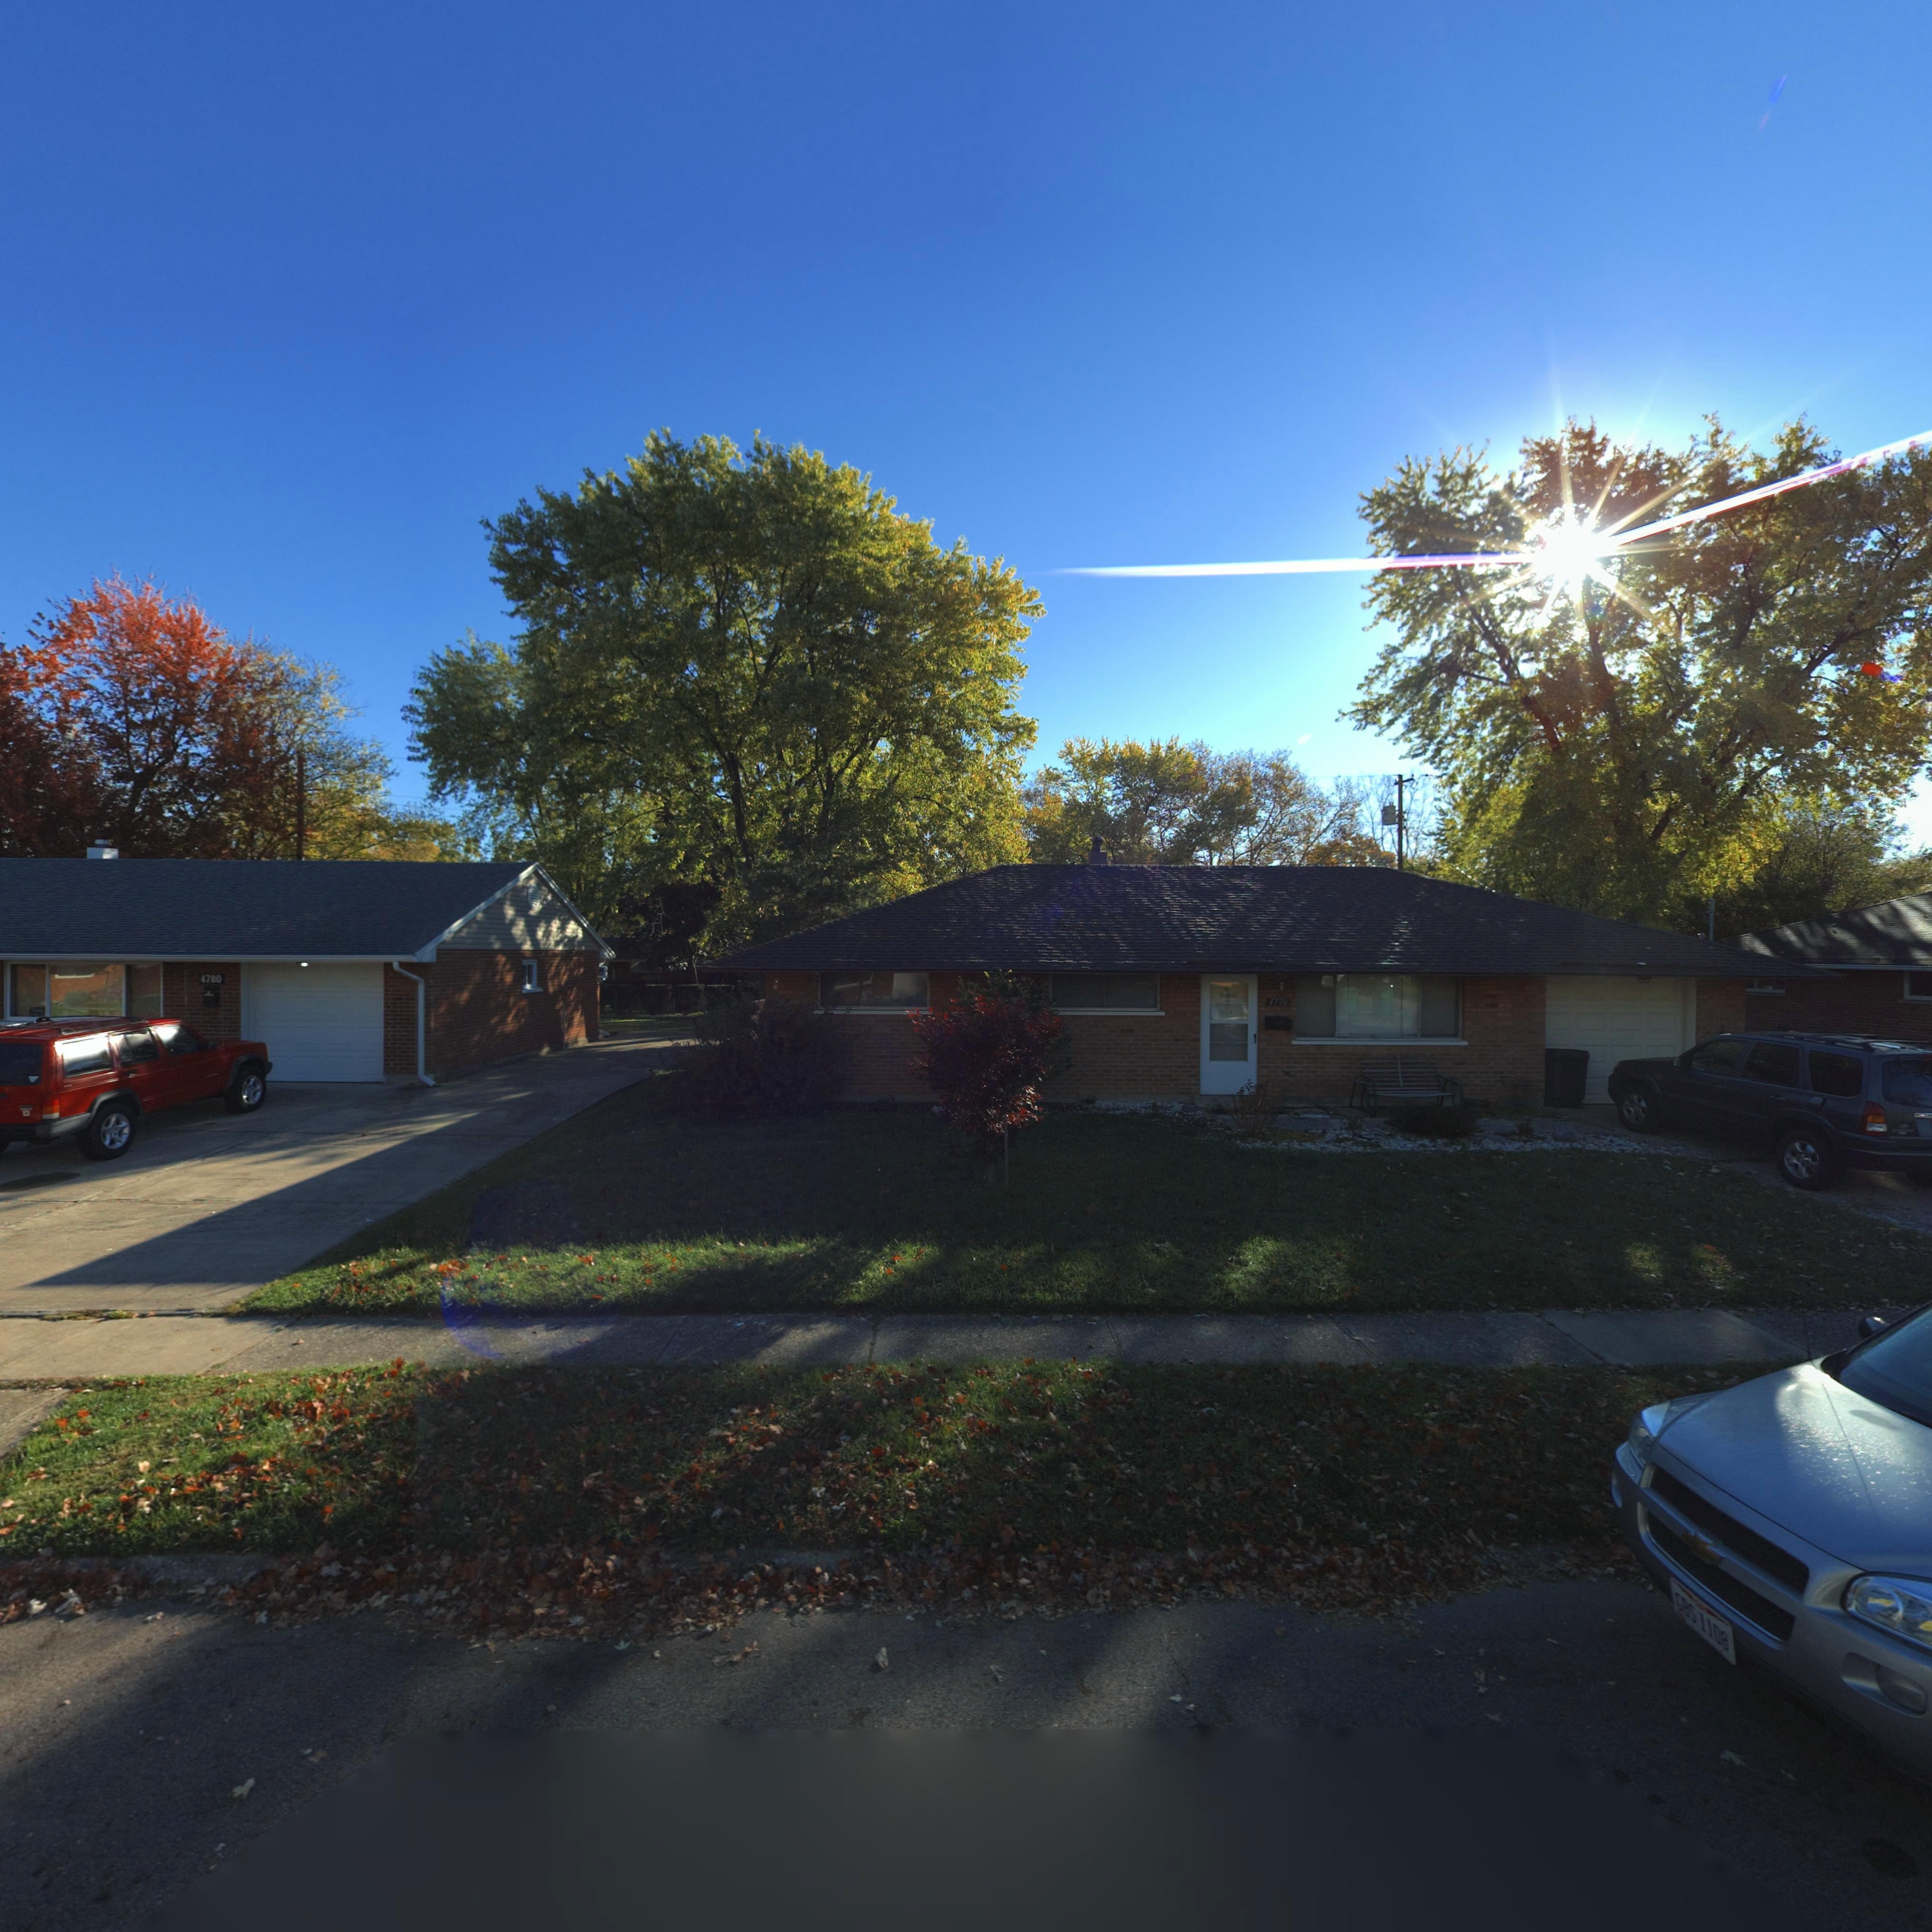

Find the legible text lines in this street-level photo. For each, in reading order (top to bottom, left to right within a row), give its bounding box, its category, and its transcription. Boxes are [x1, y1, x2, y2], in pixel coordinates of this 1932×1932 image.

[200, 974, 222, 984] StreetNumber: 4780
[1268, 998, 1287, 1005] StreetNumber: 4790